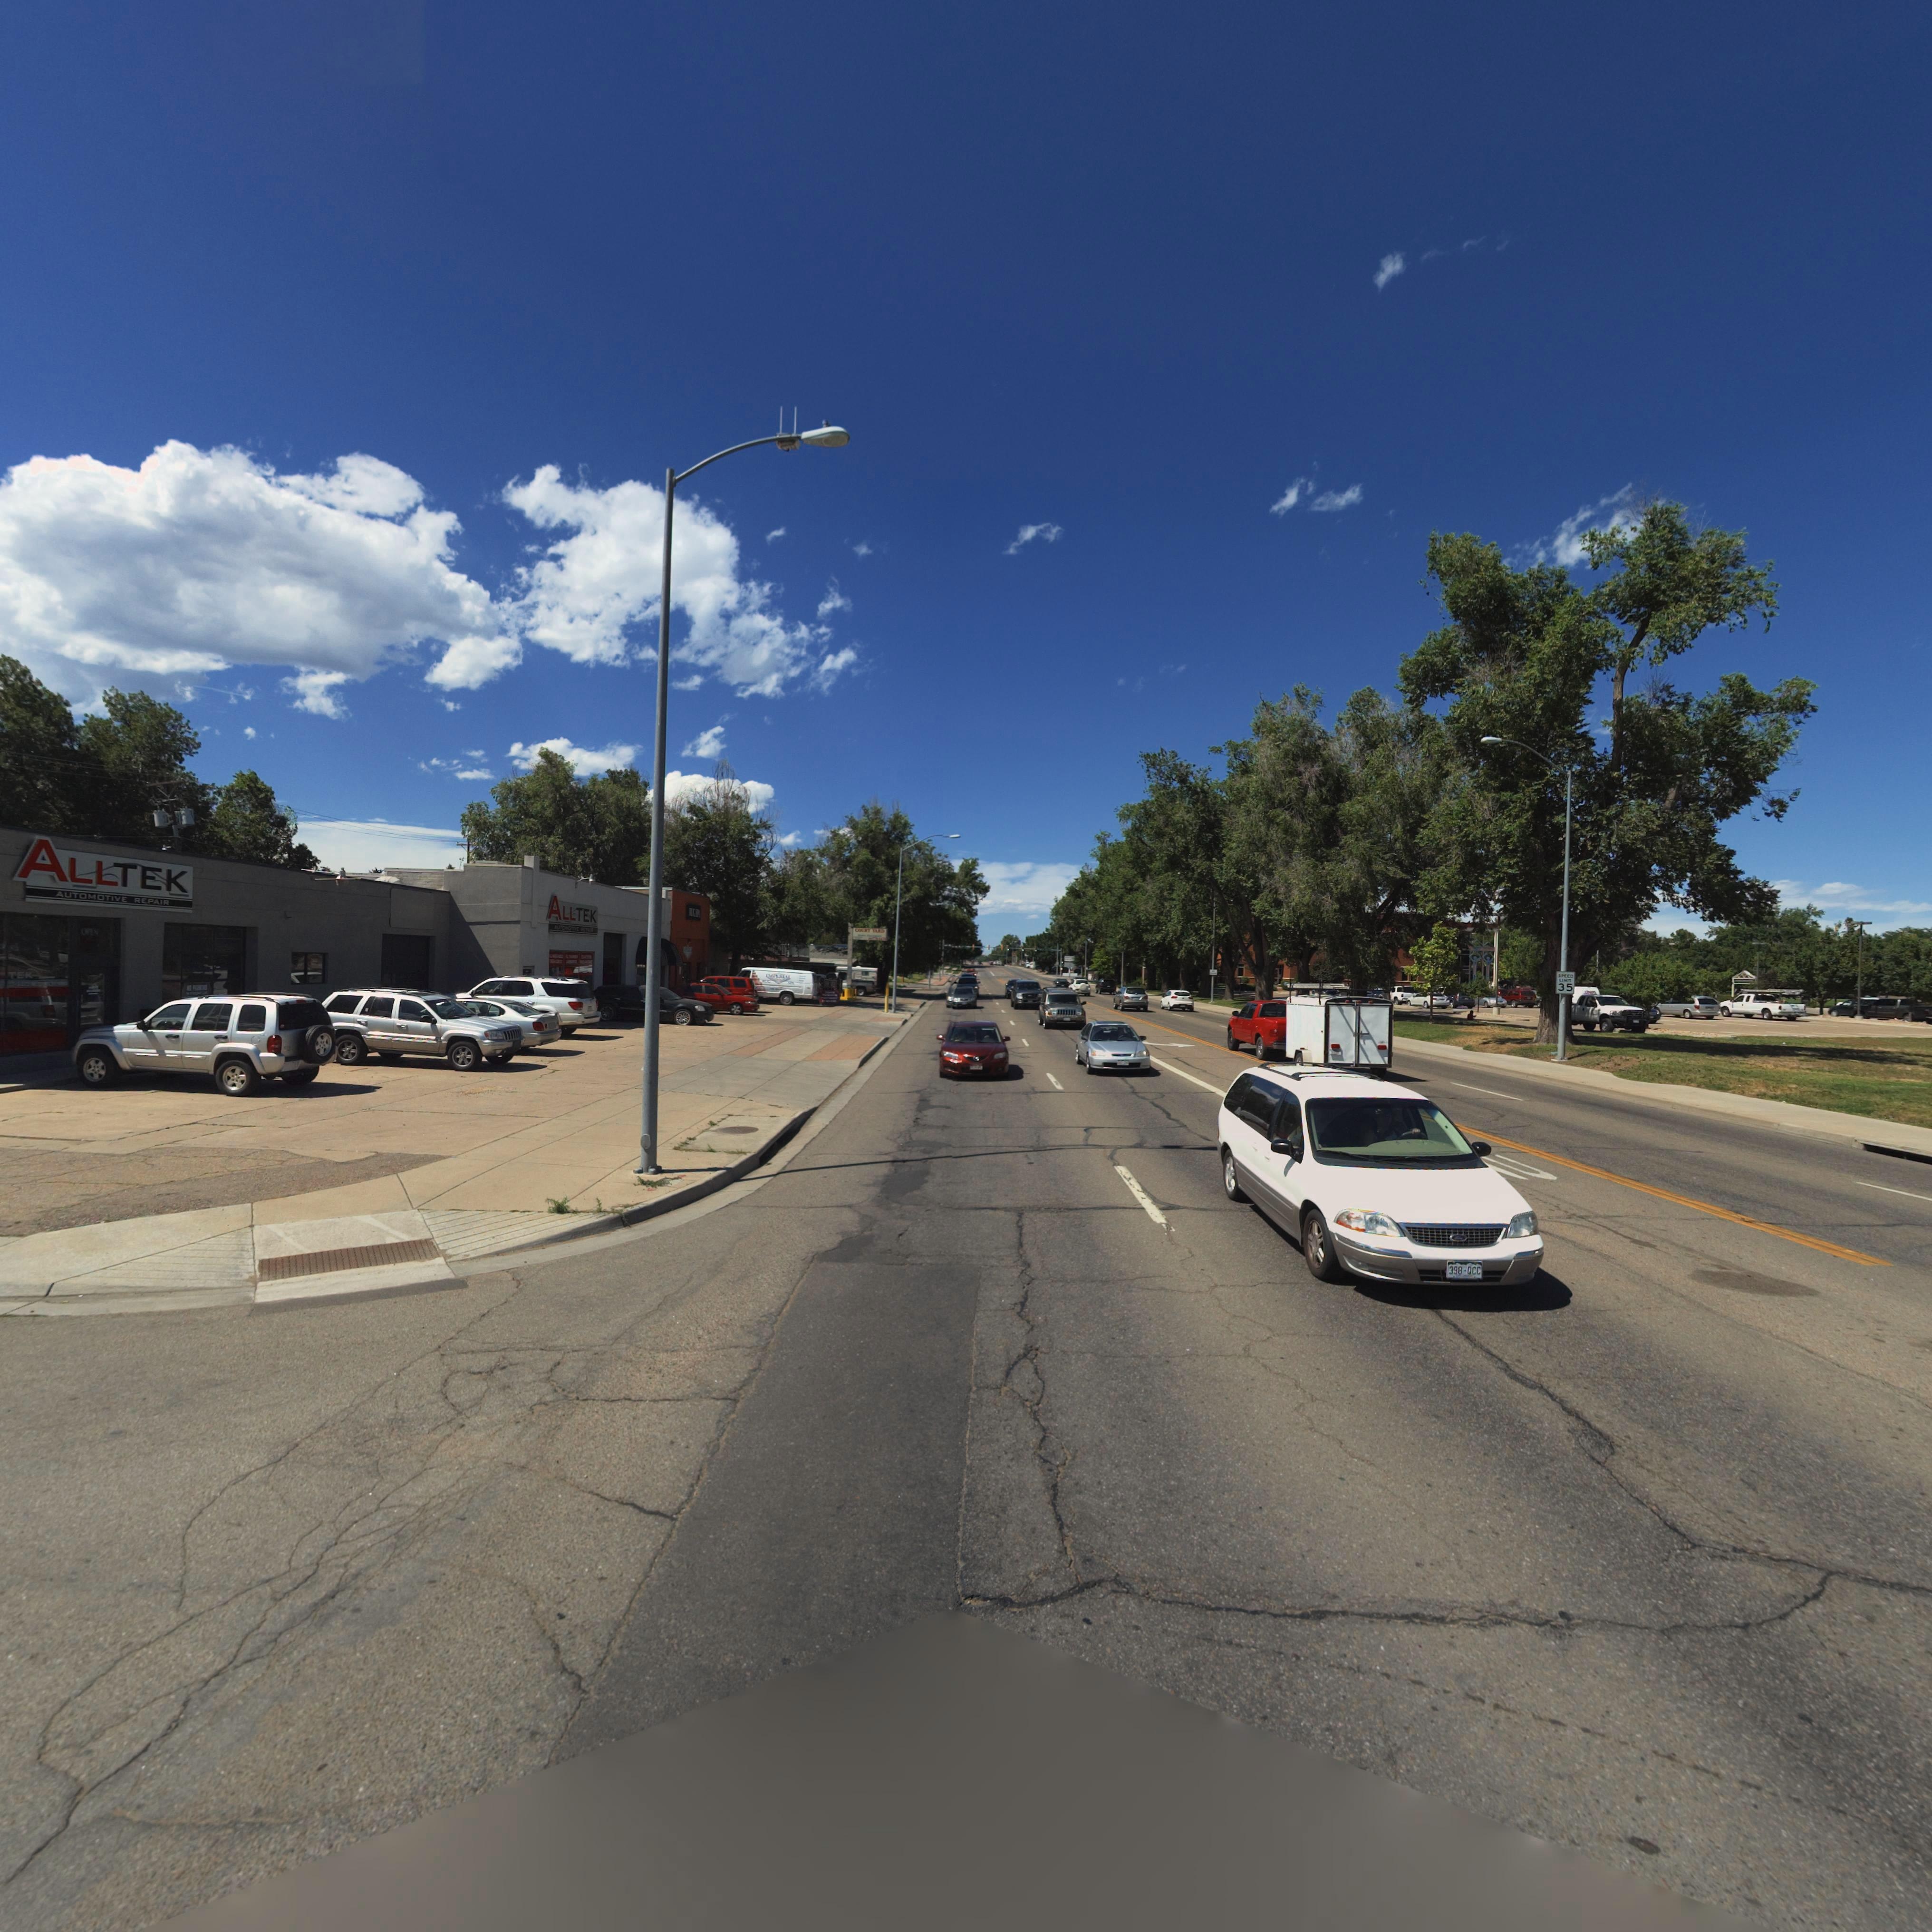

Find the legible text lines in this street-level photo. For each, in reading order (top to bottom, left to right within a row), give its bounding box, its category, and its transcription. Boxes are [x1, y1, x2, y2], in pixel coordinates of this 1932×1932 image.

[14, 837, 189, 895] BusinessName: ALLTEK
[547, 895, 597, 923] BusinessName: ALLTEK
[689, 908, 700, 918] BusinessName: **GS**
[854, 928, 884, 933] BusinessName: CO*RT YA*D
[7, 971, 33, 979] BusinessName: TEK